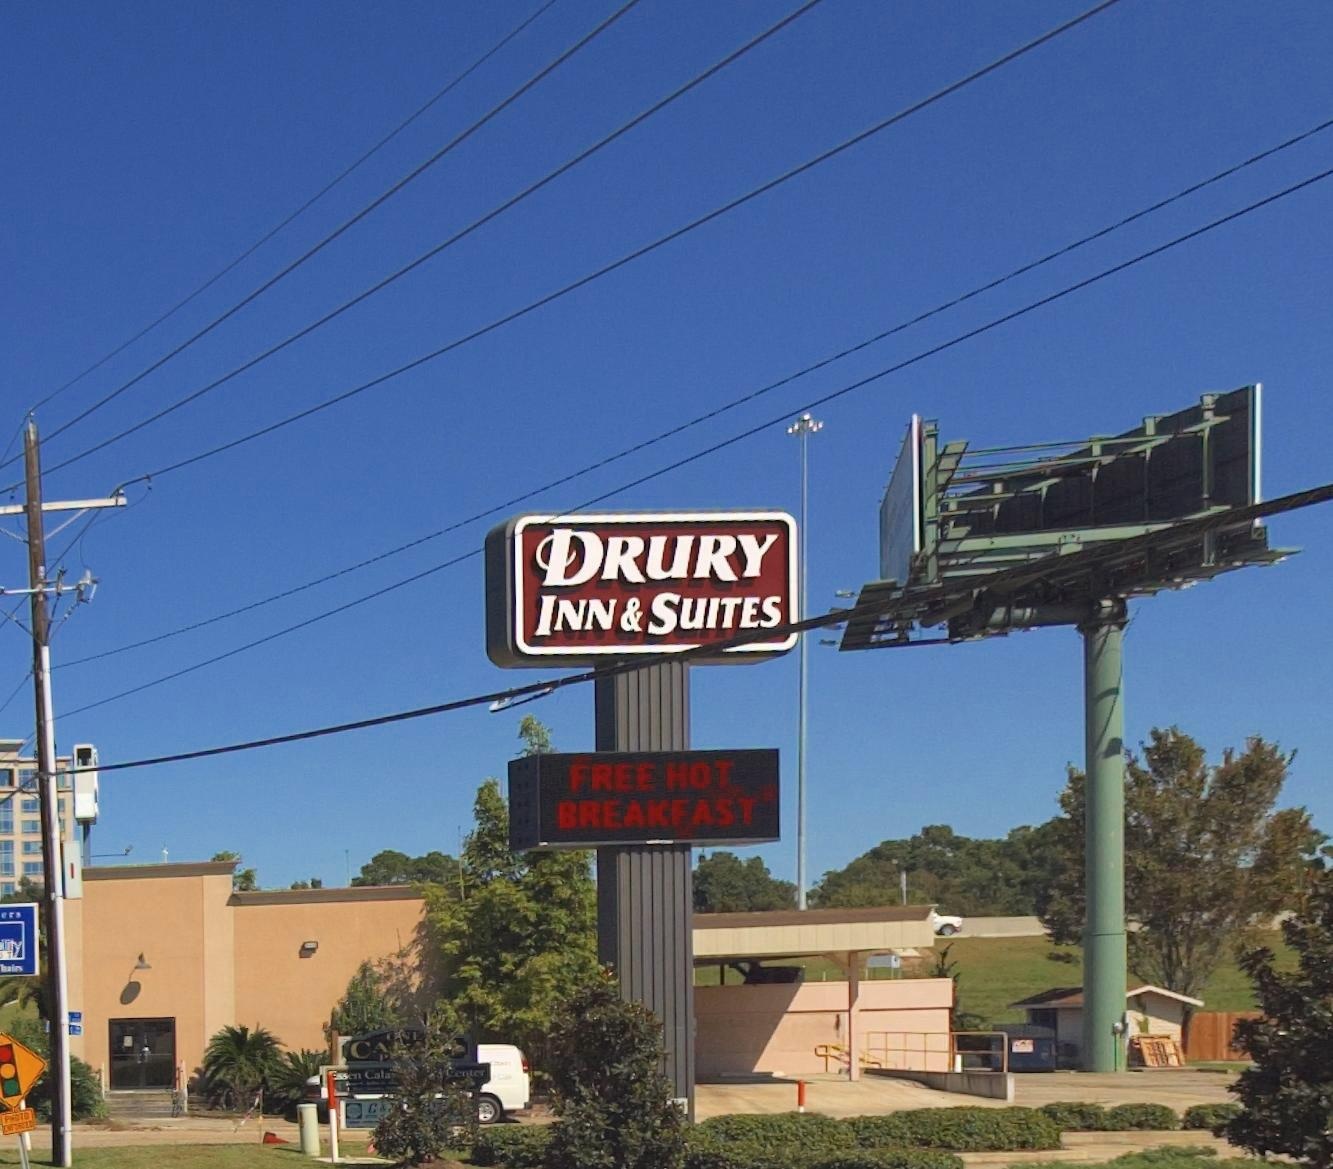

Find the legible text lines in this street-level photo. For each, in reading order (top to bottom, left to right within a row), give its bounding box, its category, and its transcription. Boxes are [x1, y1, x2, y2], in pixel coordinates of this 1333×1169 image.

[534, 528, 781, 588] BusinessName: DRURY
[533, 590, 783, 638] BusinessName: INN & SUITES
[568, 760, 735, 794] None: FREE HOT
[555, 796, 760, 832] None: BREAKFAST
[348, 1040, 390, 1061] None: CA
[330, 1068, 393, 1081] None: *ssen Cala
[445, 1066, 486, 1079] None: Center